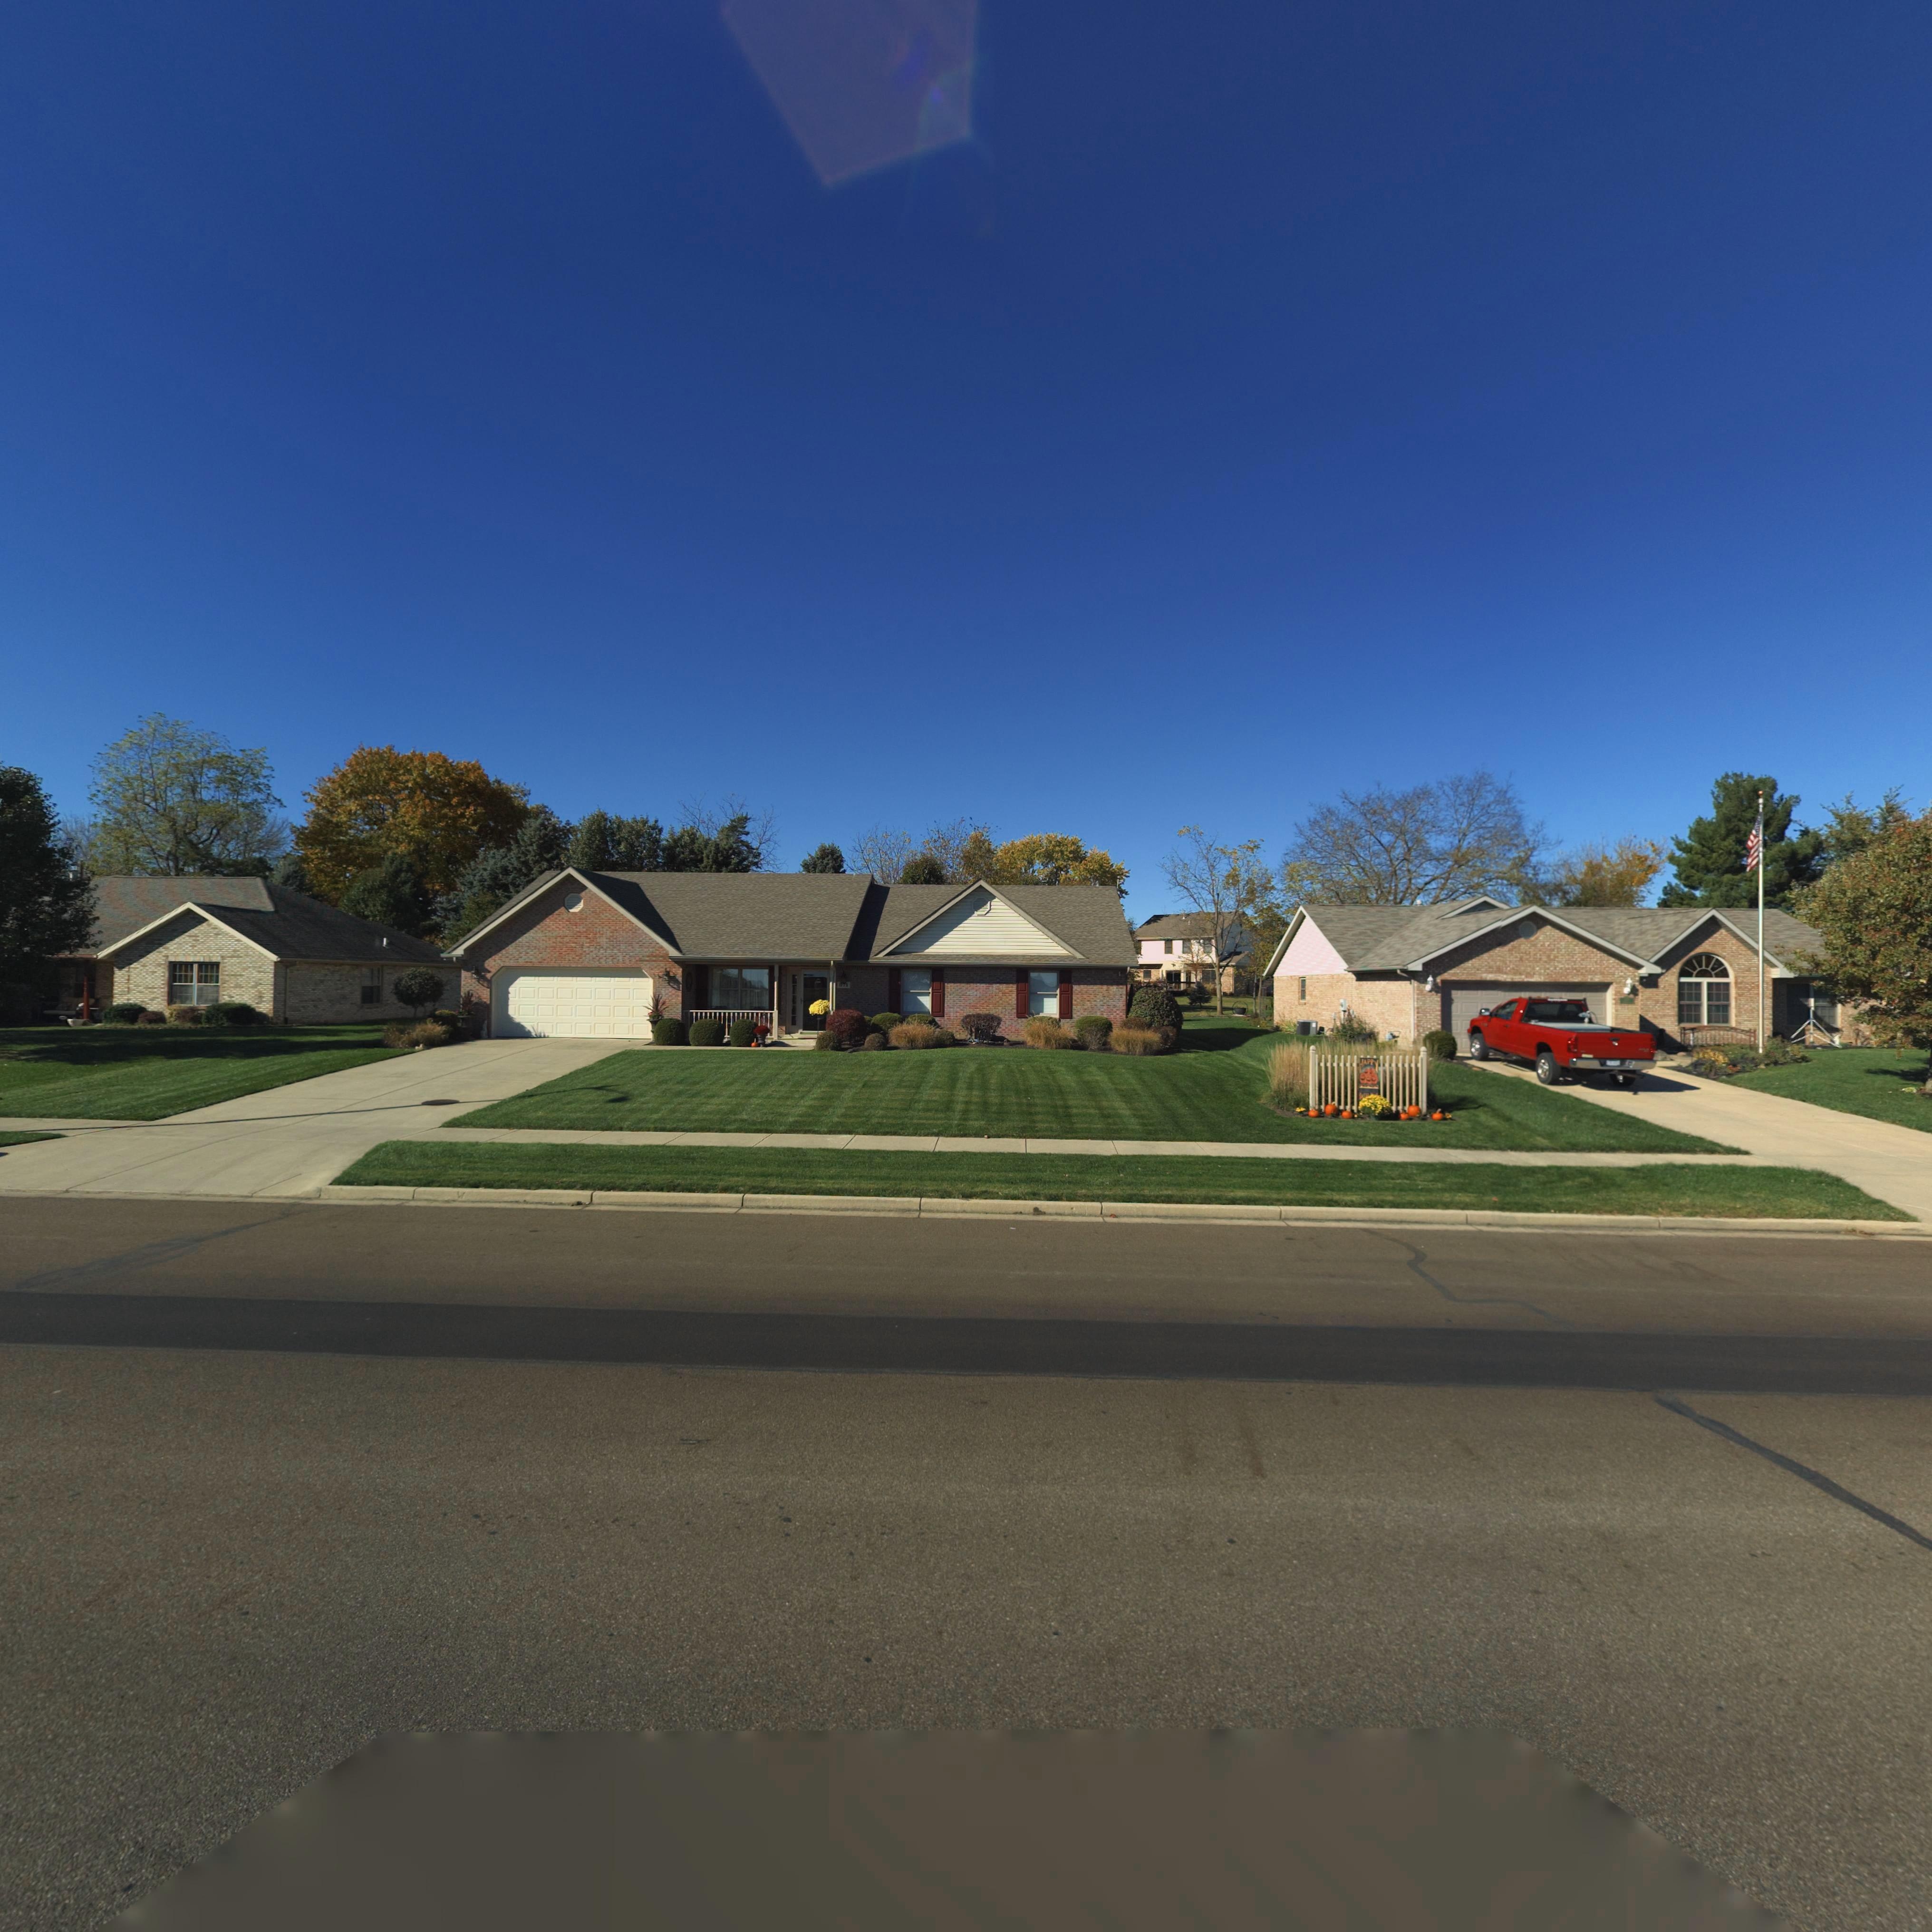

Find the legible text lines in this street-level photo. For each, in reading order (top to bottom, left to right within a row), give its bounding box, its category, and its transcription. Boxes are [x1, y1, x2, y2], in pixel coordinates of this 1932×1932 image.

[839, 982, 848, 987] StreetNumber: *71